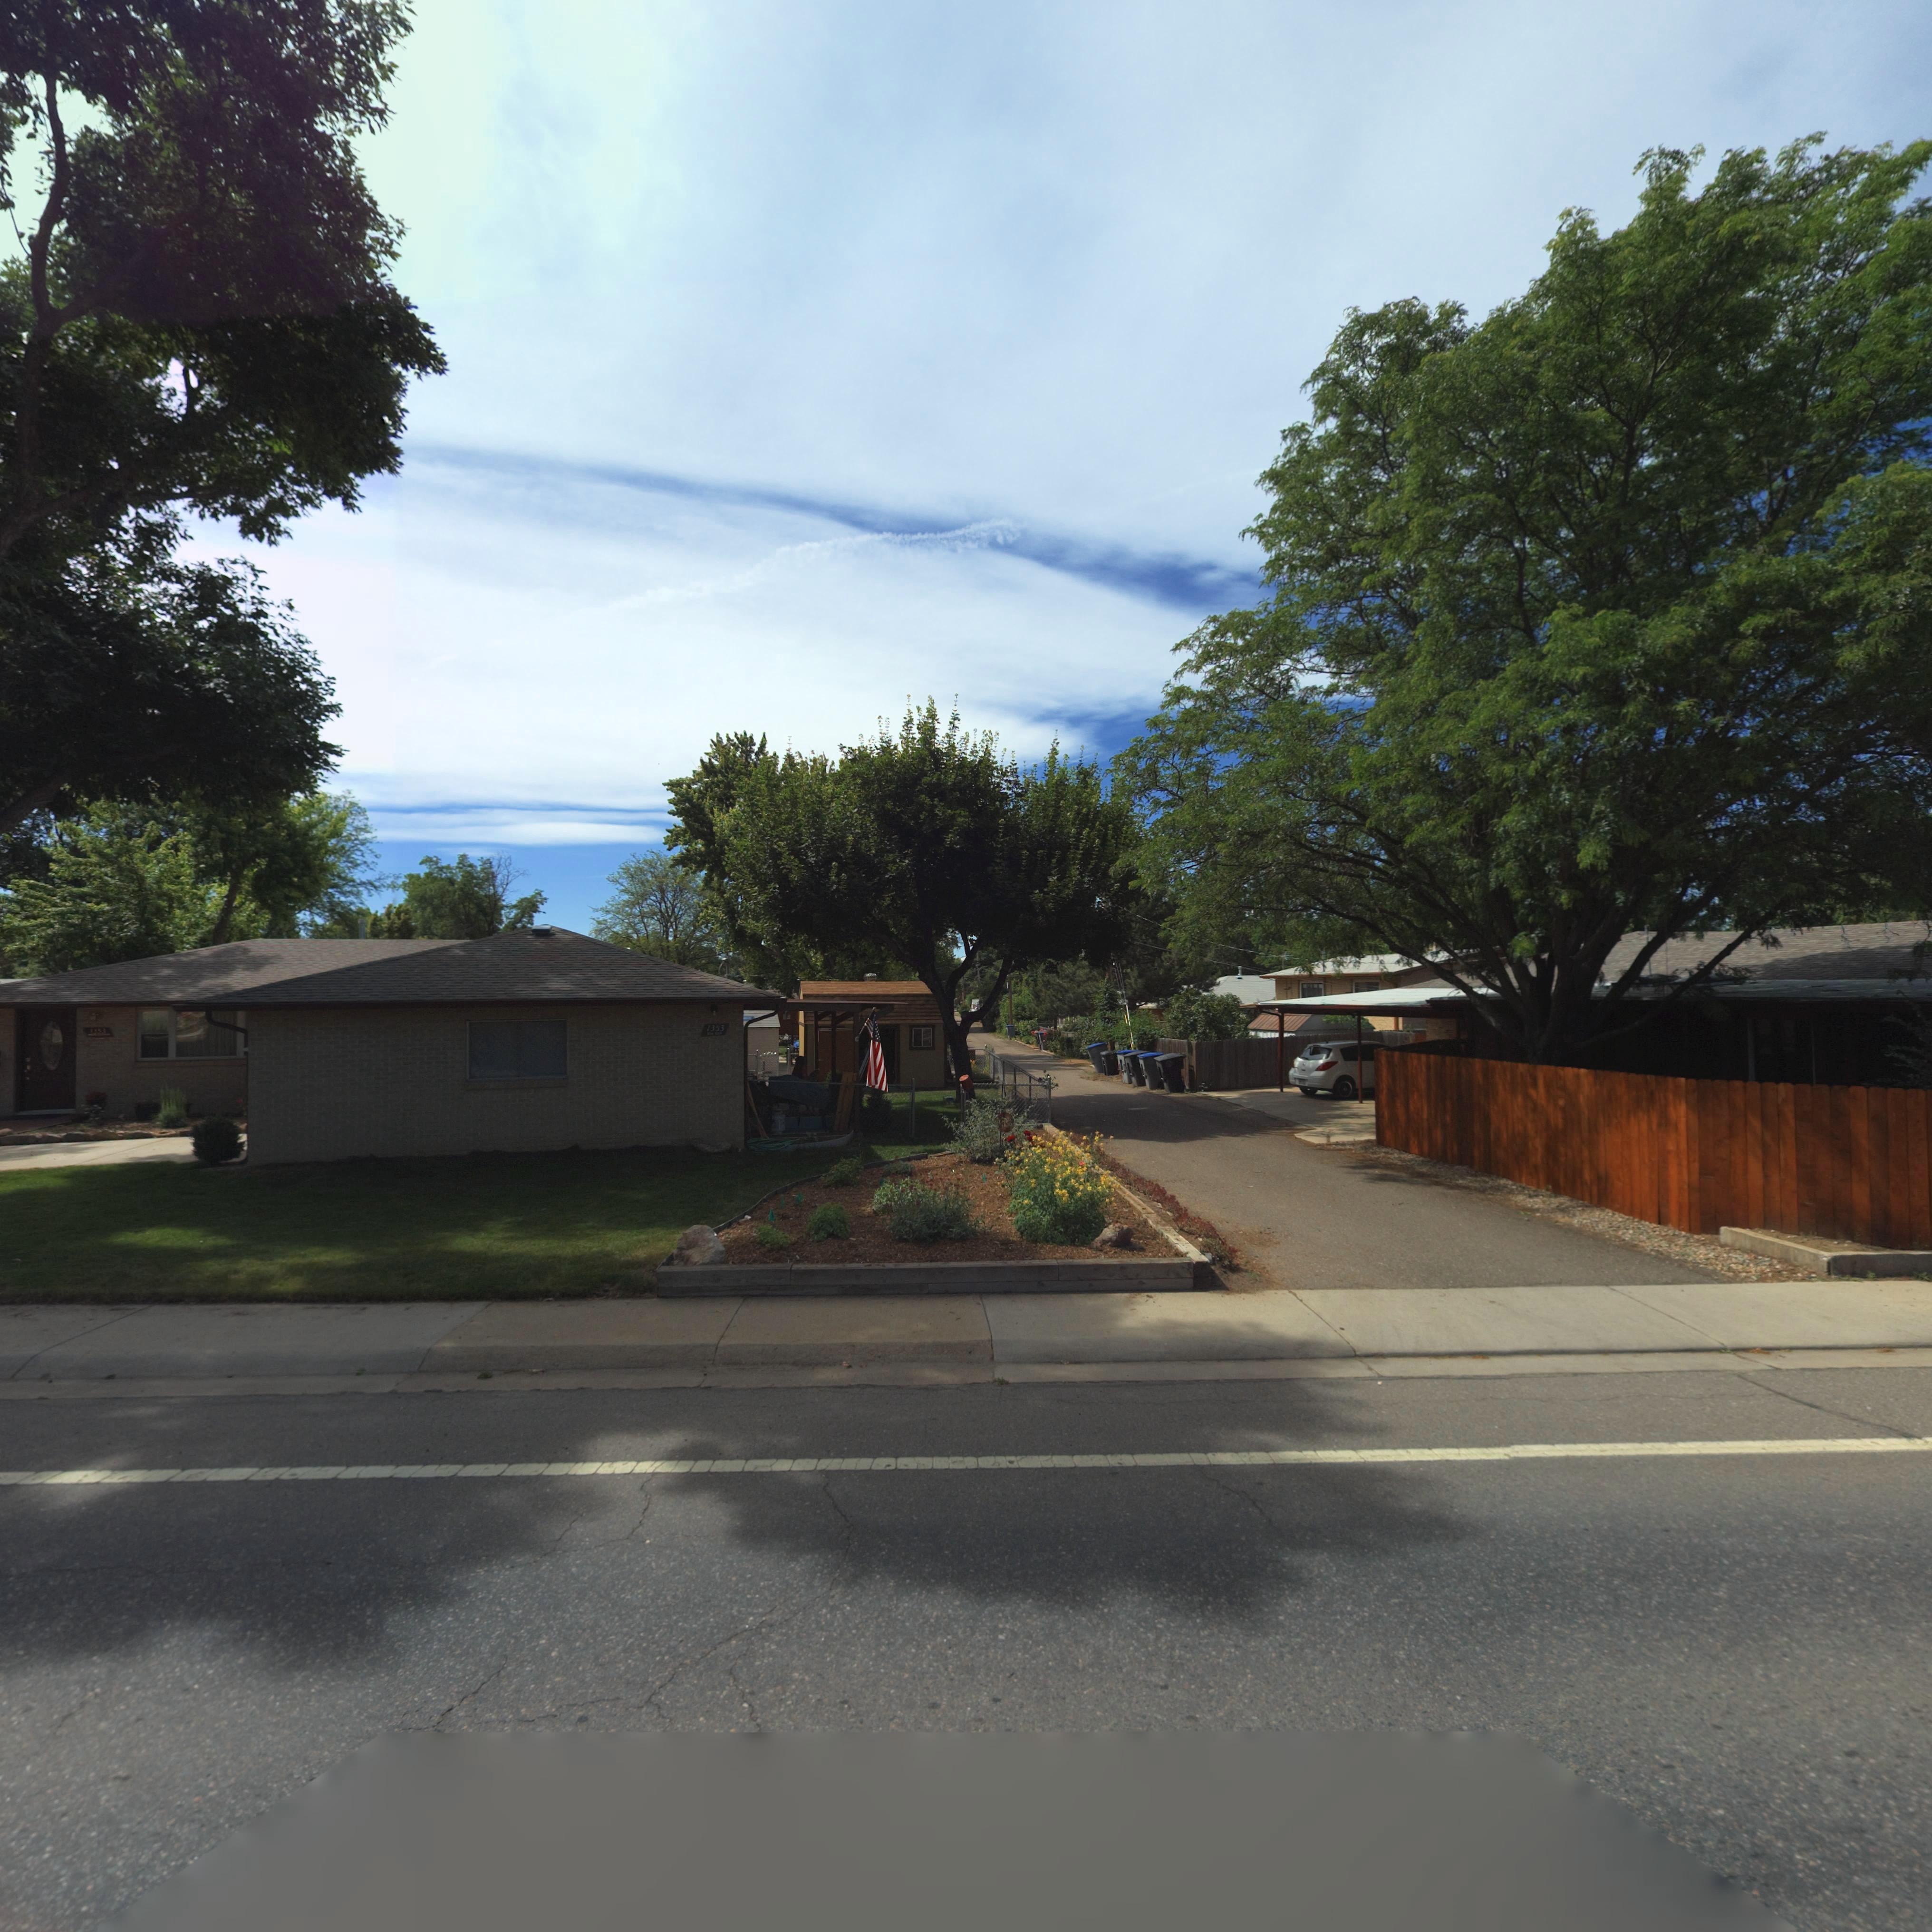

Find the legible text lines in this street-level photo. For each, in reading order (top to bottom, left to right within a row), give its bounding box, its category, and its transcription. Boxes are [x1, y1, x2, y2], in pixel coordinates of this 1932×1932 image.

[89, 1027, 106, 1034] StreetNumber: 1**3
[706, 1024, 724, 1032] StreetNumber: 1353